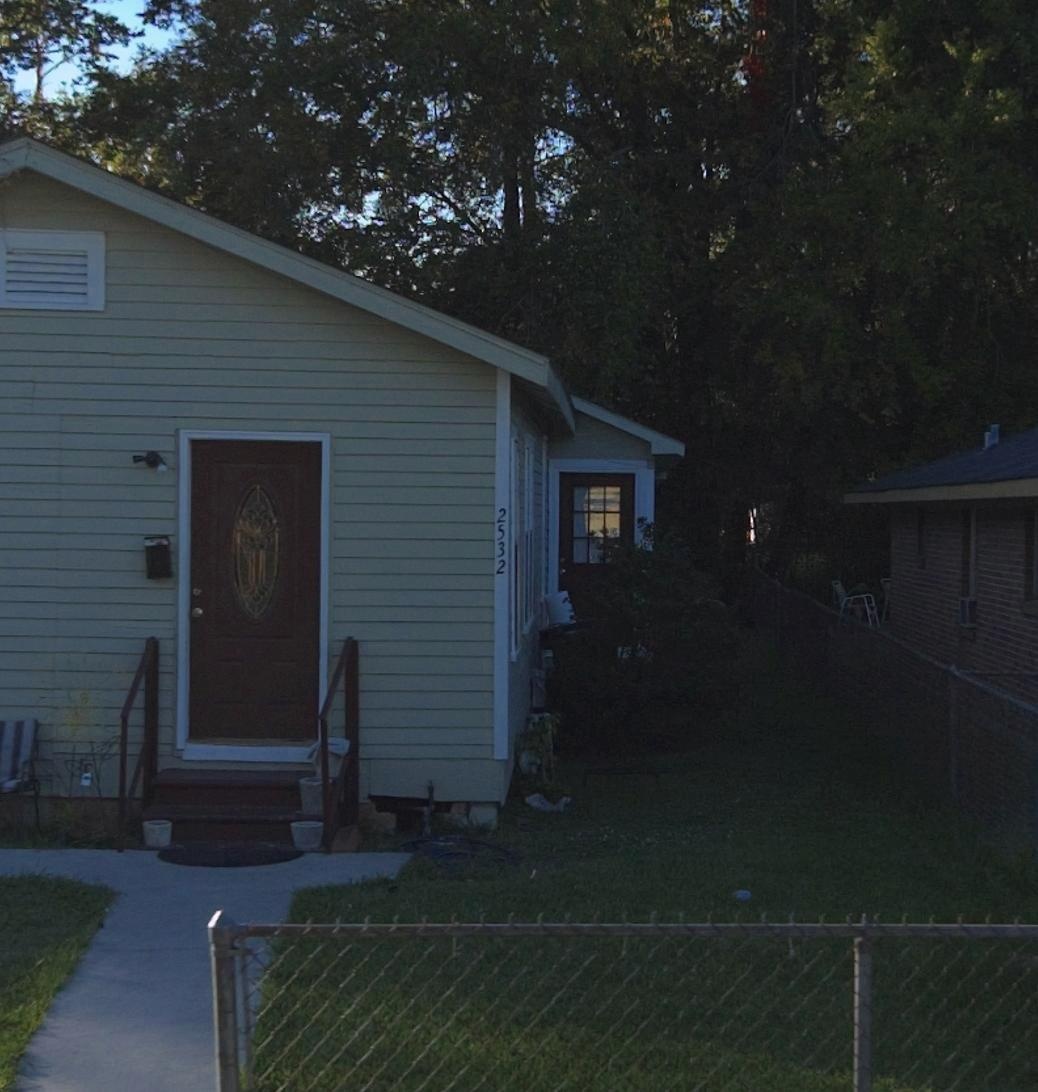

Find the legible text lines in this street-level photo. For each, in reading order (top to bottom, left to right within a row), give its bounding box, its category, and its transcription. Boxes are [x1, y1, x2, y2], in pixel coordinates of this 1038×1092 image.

[495, 507, 508, 576] StreetNumber: 2532